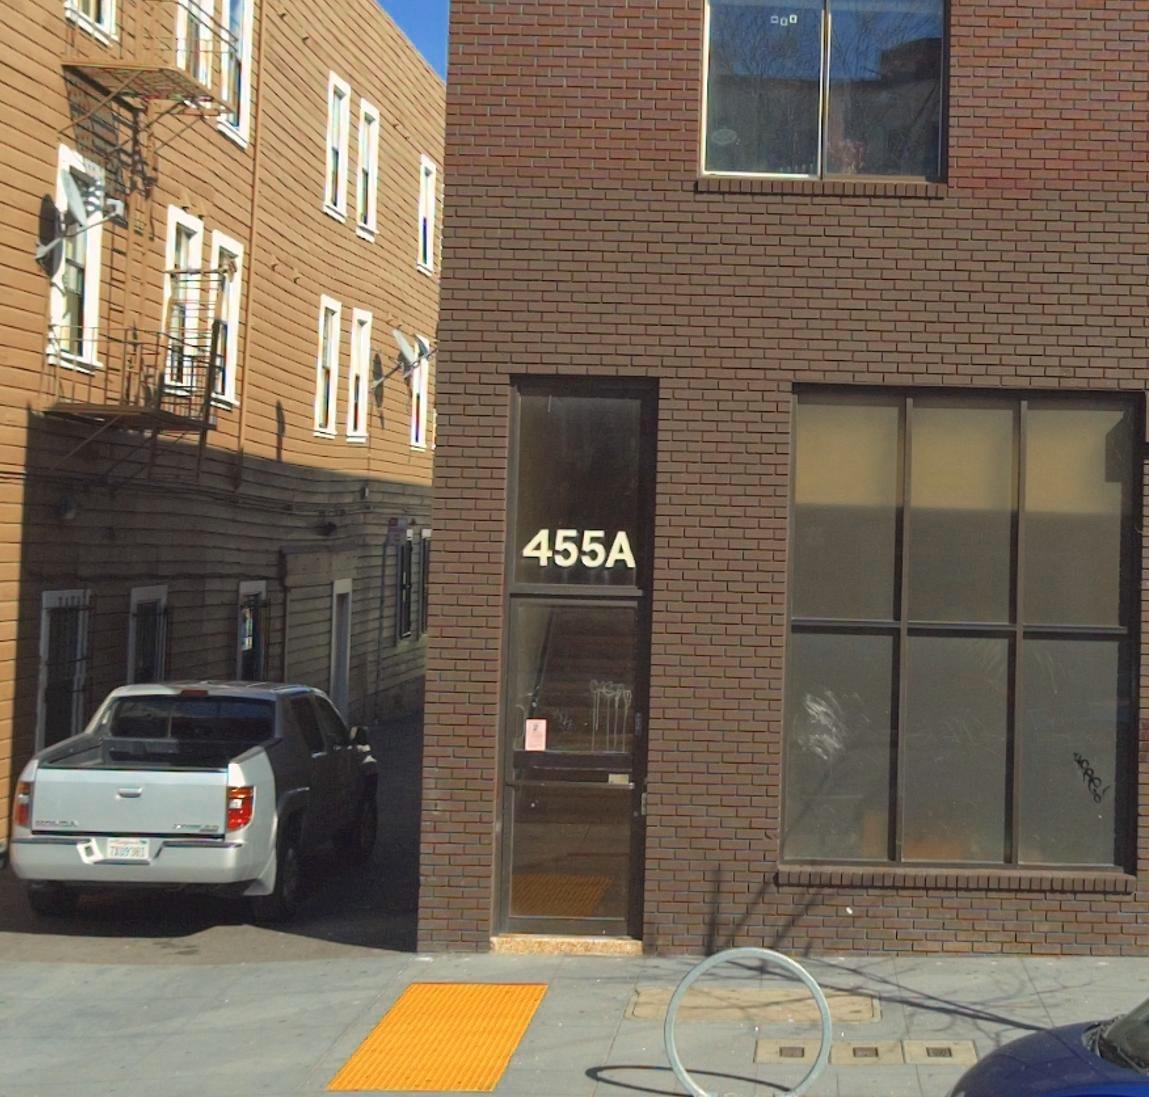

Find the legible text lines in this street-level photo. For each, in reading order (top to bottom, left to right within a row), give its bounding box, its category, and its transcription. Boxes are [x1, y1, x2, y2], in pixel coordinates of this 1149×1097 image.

[520, 528, 639, 569] StreetNumber: 455A
[108, 845, 145, 858] None: 7X*93*1